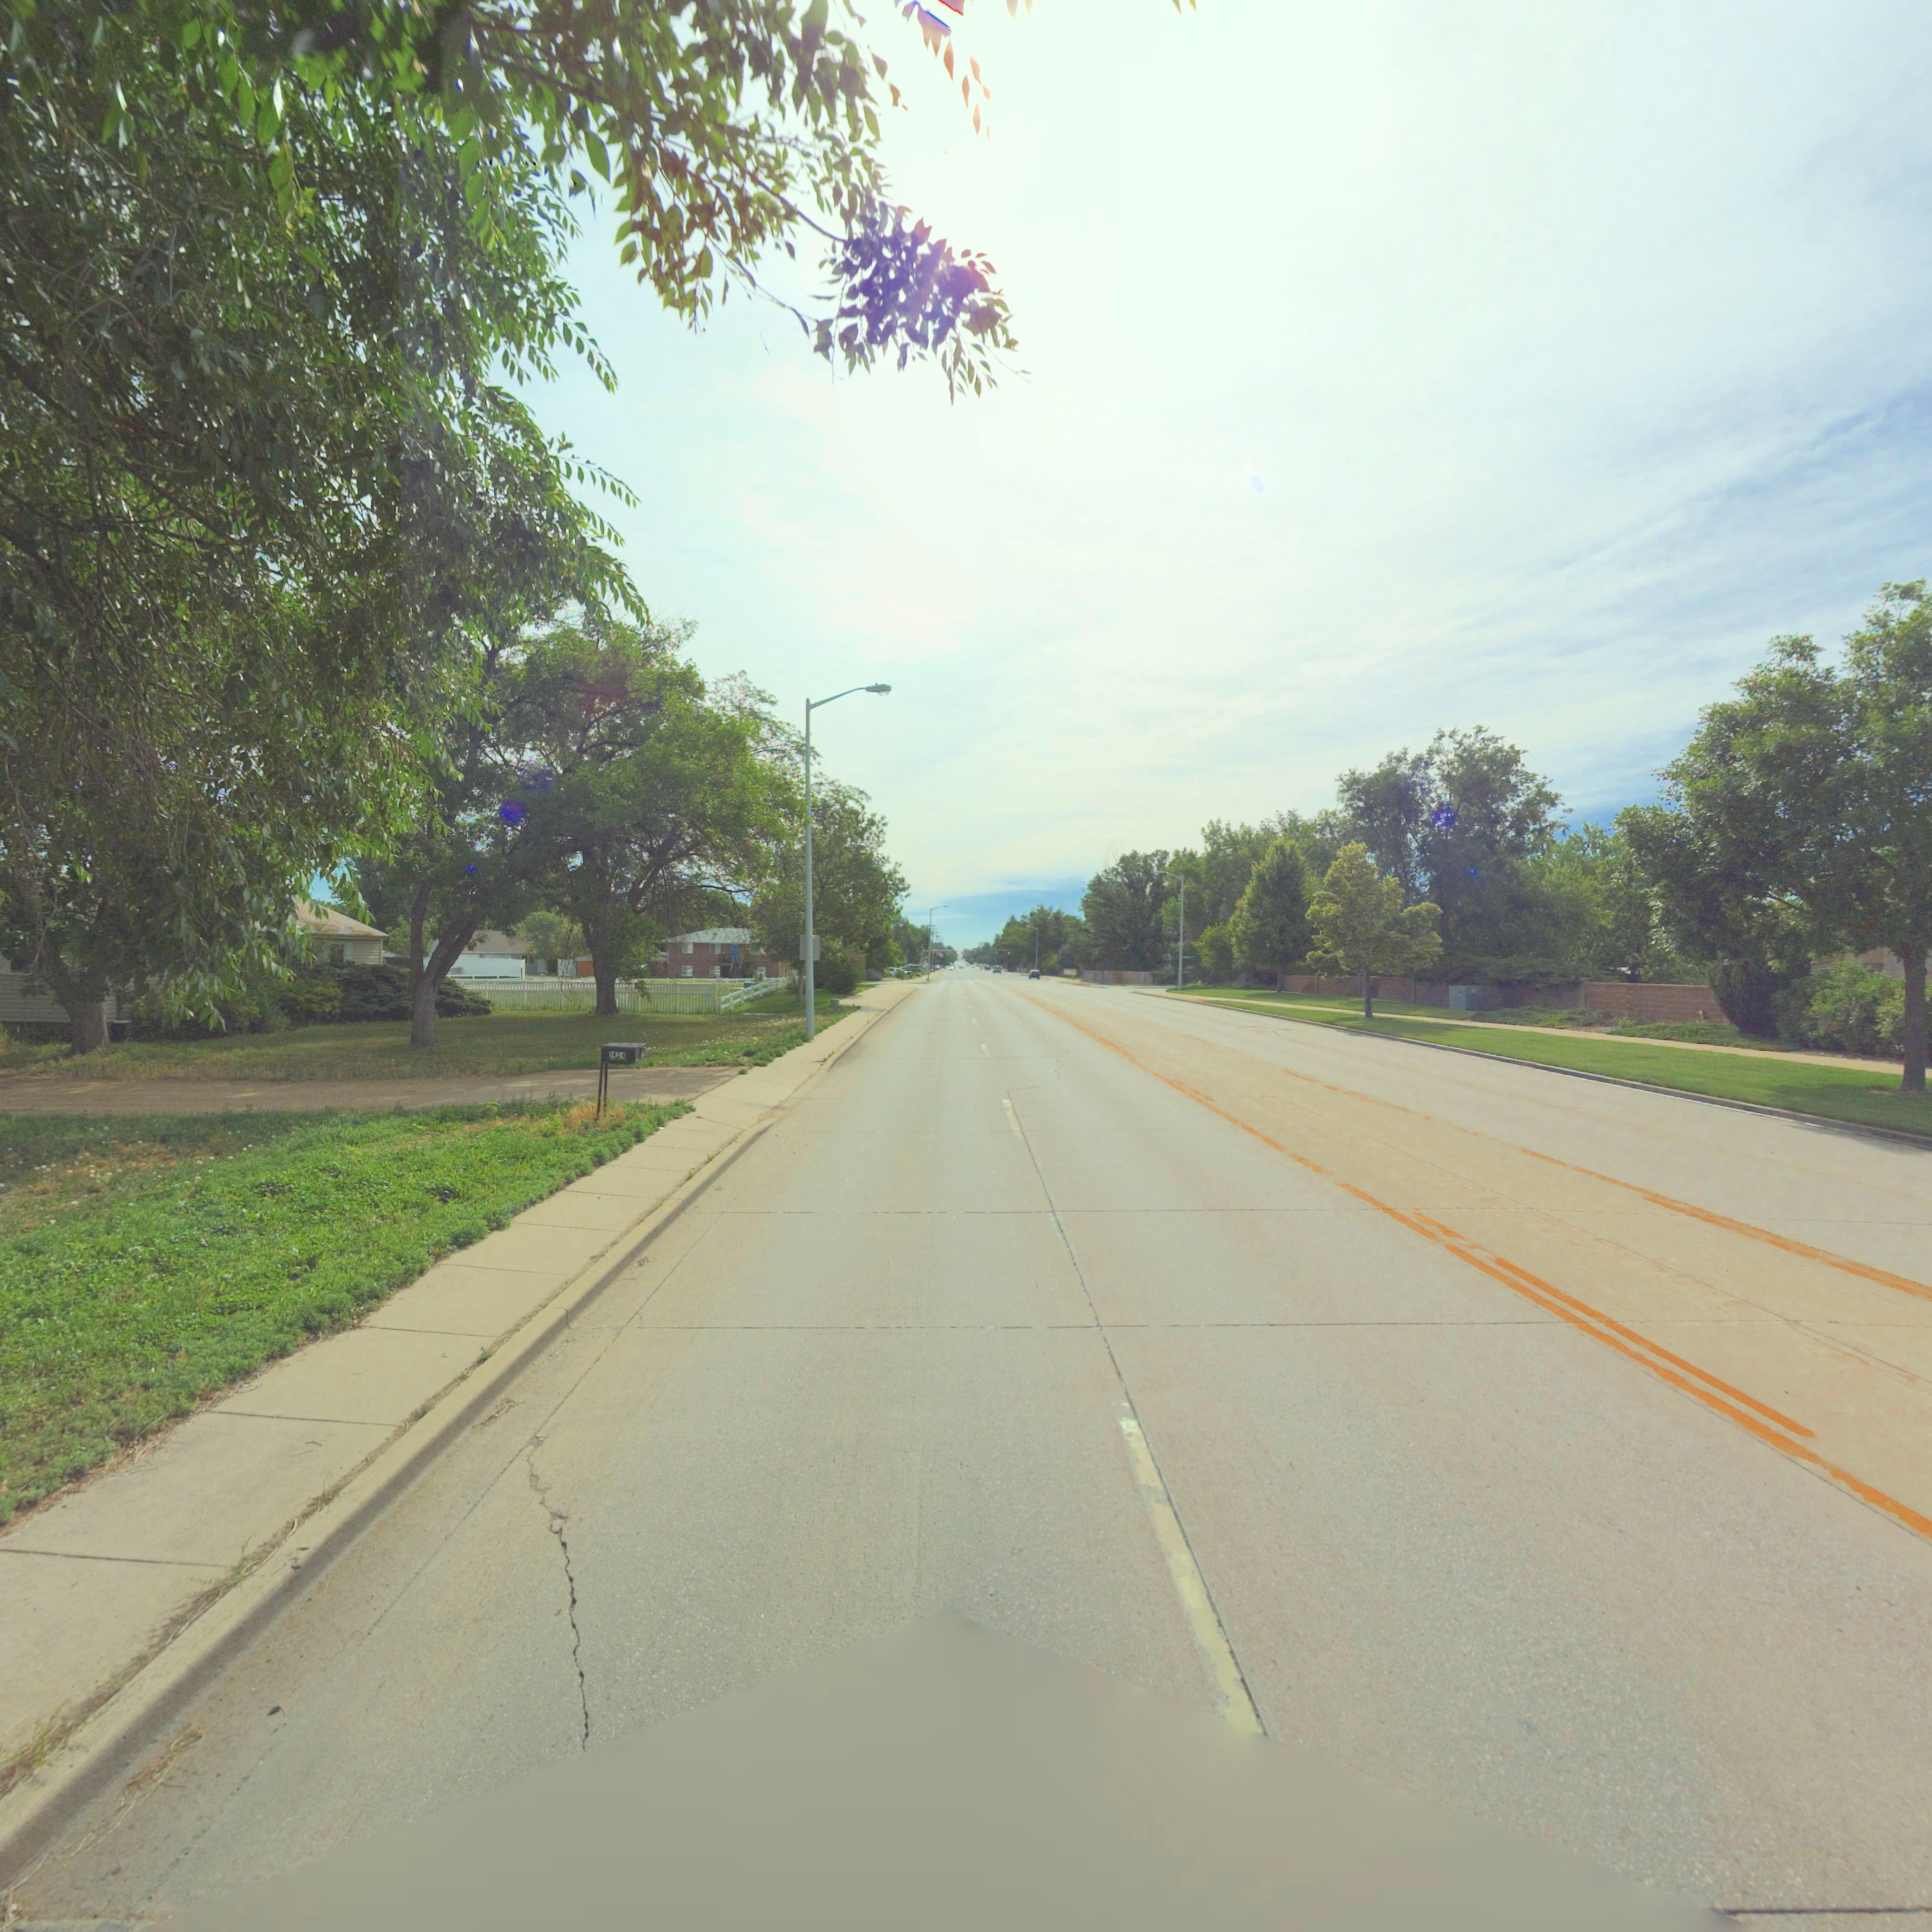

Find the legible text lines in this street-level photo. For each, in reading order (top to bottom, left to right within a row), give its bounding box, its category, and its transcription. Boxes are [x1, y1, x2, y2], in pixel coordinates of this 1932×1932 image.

[609, 1051, 625, 1058] StreetNumber: 1424